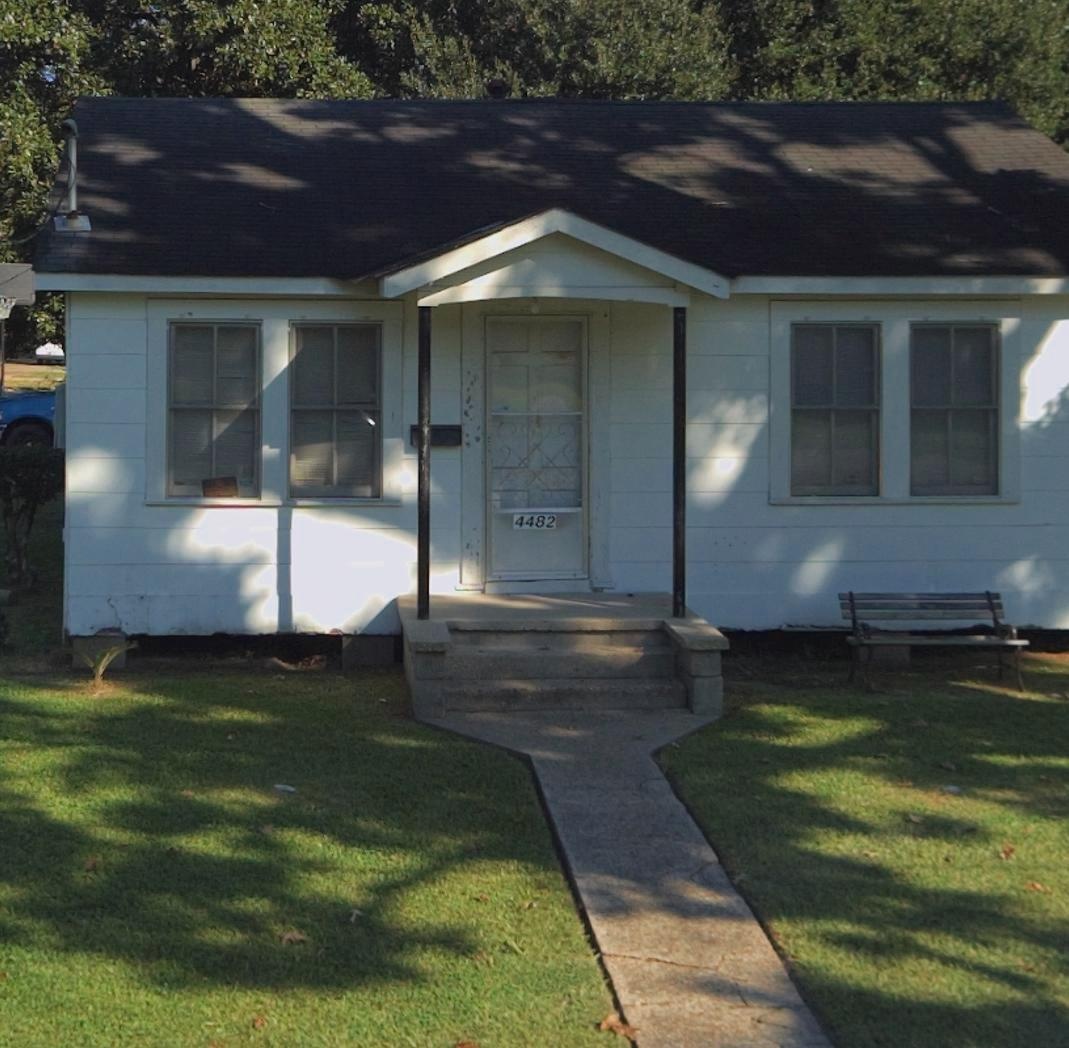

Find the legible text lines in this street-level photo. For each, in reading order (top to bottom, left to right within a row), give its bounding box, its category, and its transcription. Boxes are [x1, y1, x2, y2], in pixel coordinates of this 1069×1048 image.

[514, 515, 556, 528] StreetNumber: 4482